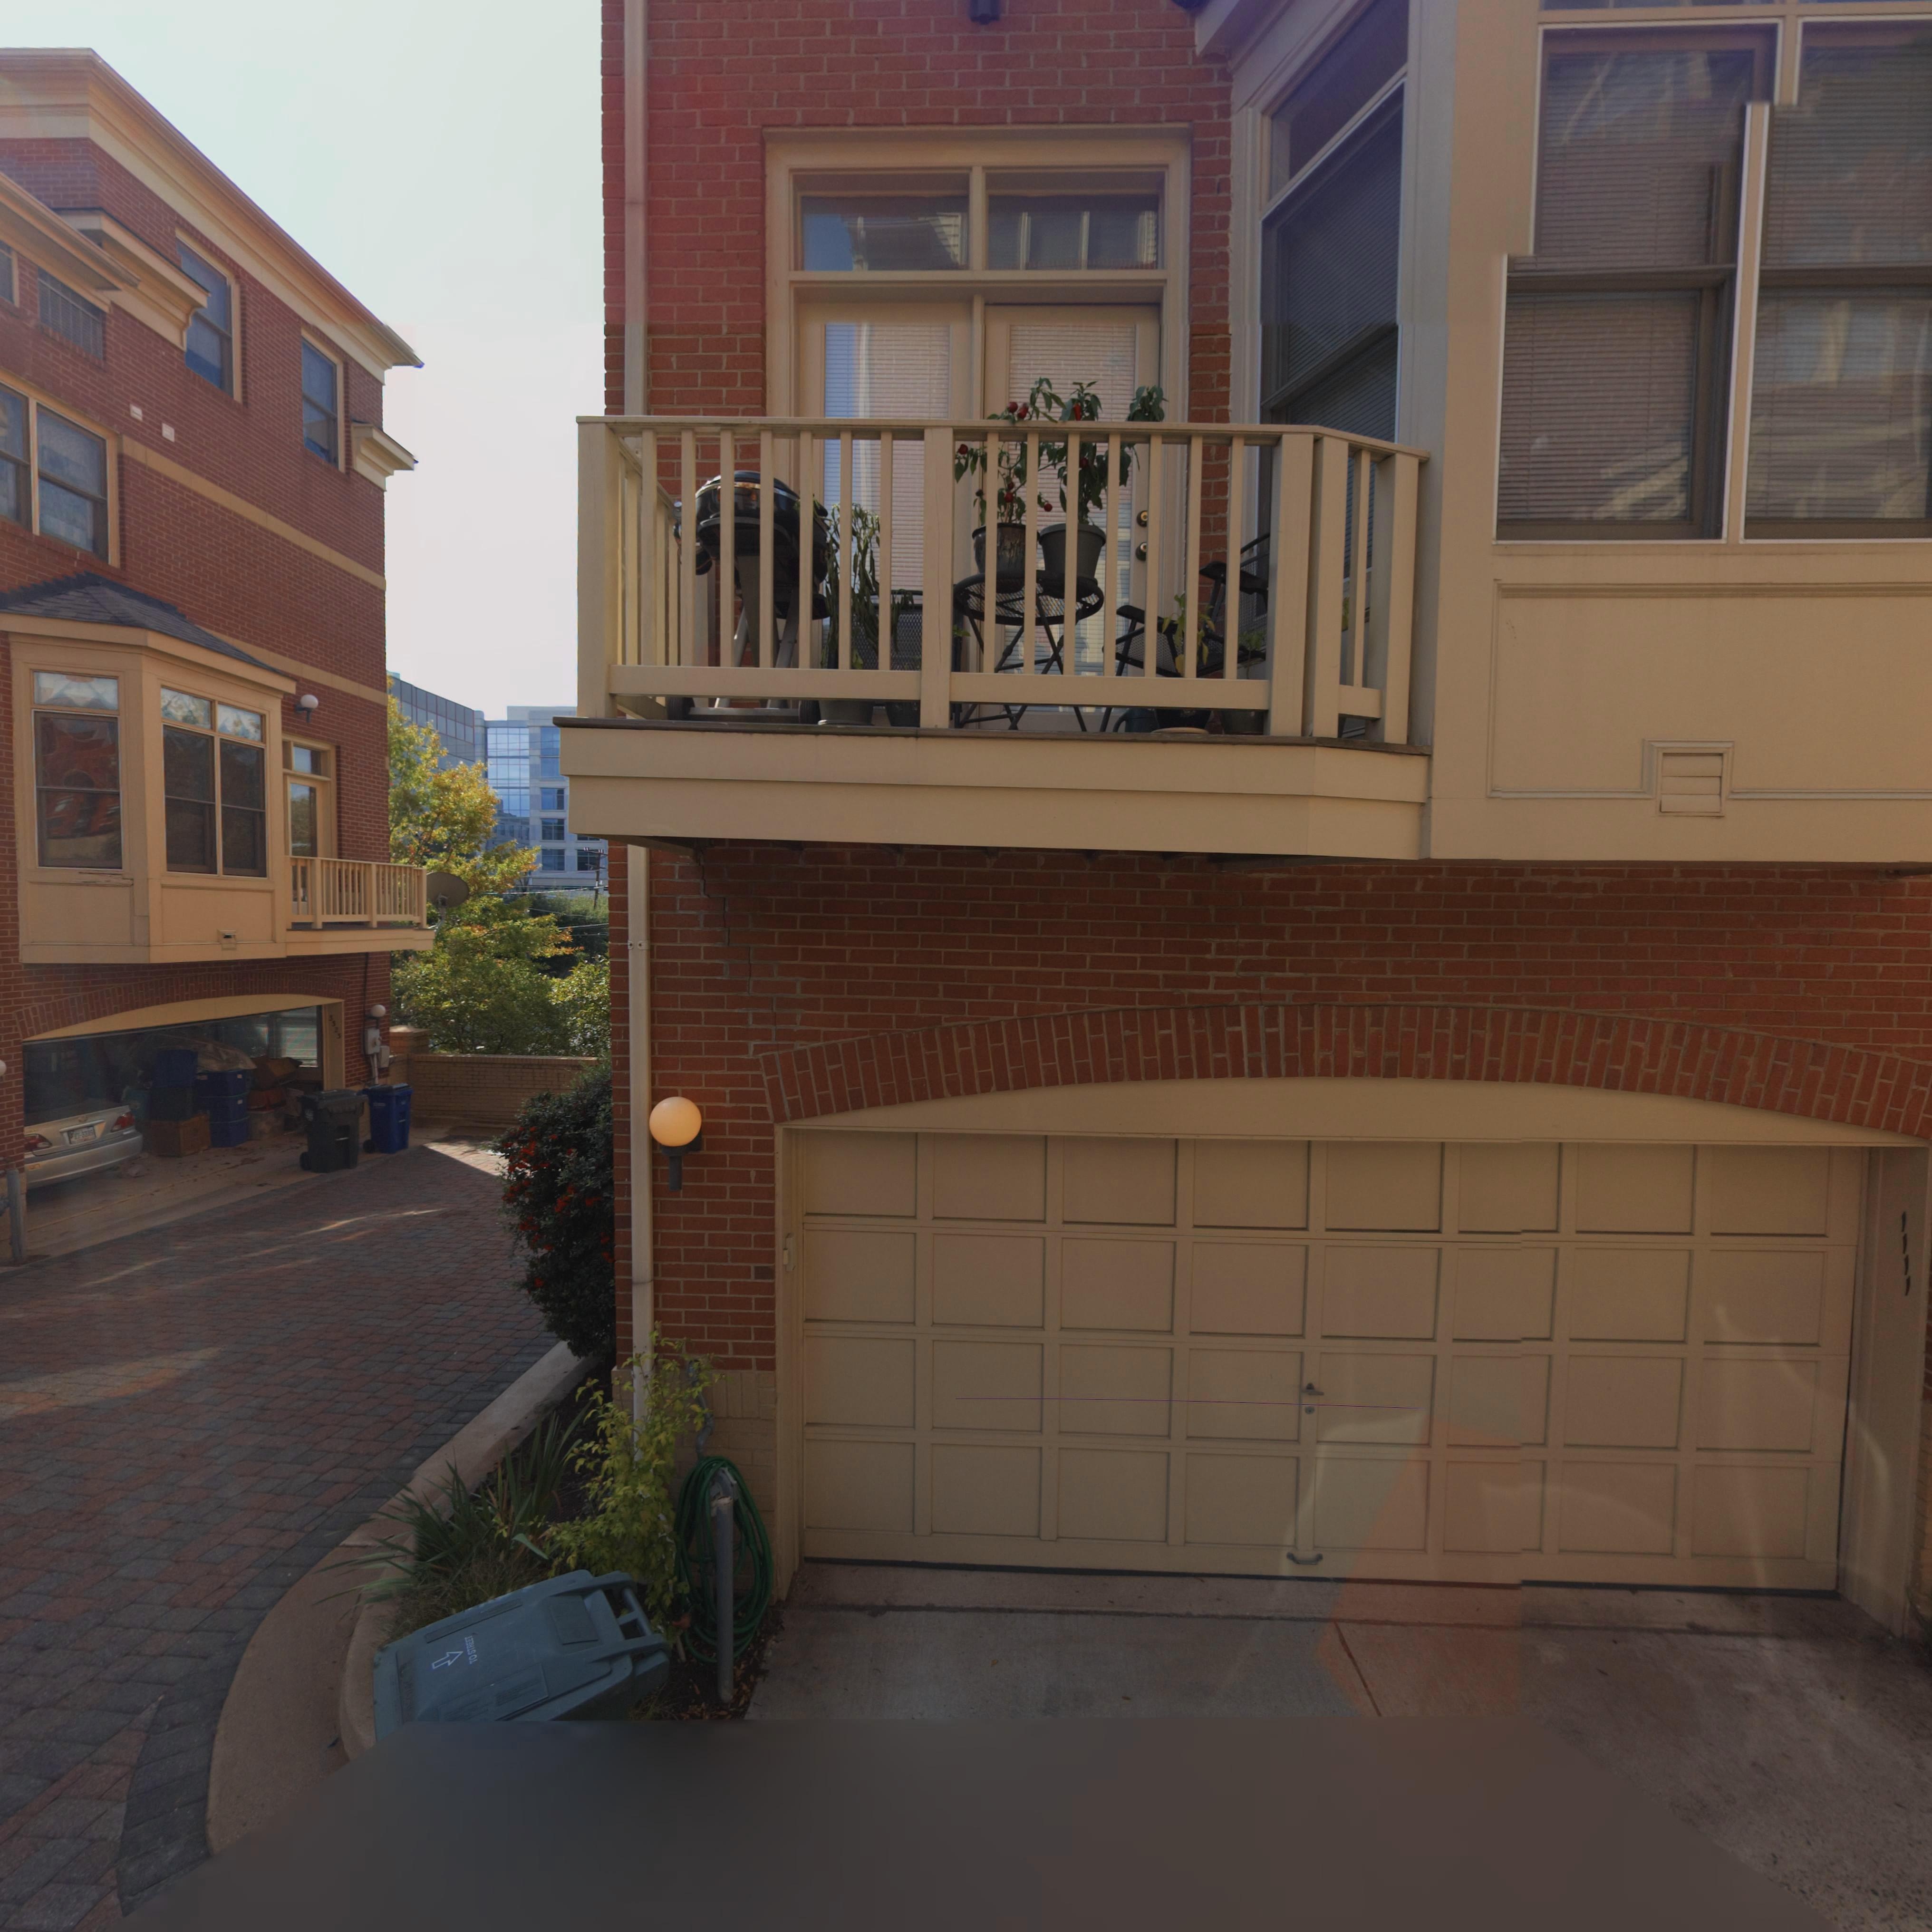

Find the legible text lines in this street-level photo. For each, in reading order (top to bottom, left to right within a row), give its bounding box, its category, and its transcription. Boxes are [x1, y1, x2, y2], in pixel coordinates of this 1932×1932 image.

[328, 1014, 341, 1040] StreetNumber: 3323
[1899, 1209, 1913, 1298] StreetNumber: 1111
[464, 1634, 478, 1666] None: TO STREET